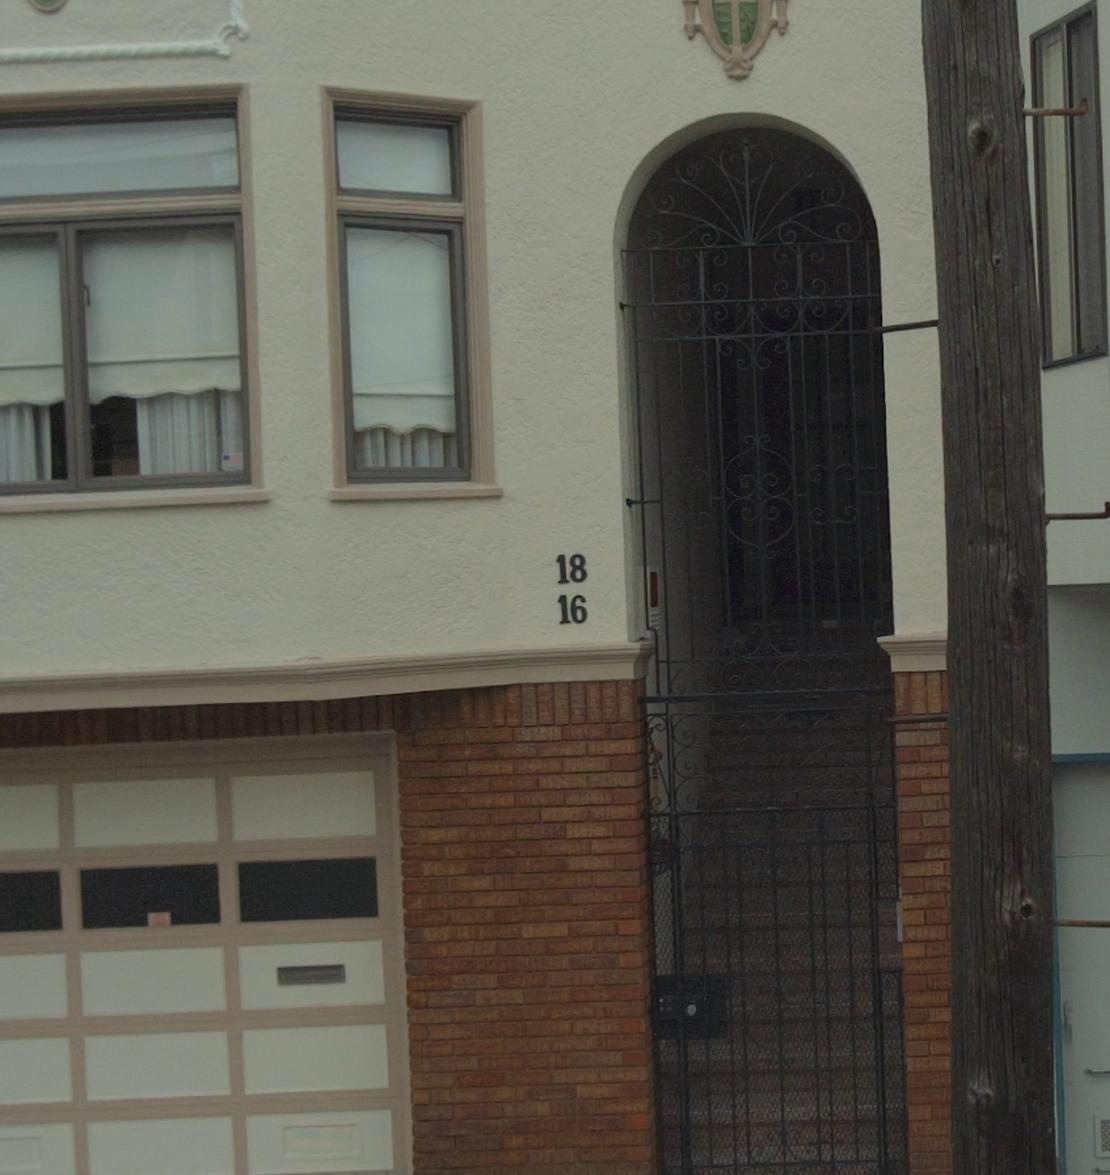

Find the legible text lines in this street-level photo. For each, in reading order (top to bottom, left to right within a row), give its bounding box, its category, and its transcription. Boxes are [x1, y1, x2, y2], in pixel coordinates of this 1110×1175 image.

[554, 551, 590, 587] StreetNumber: 18
[556, 593, 589, 627] StreetNumber: 16